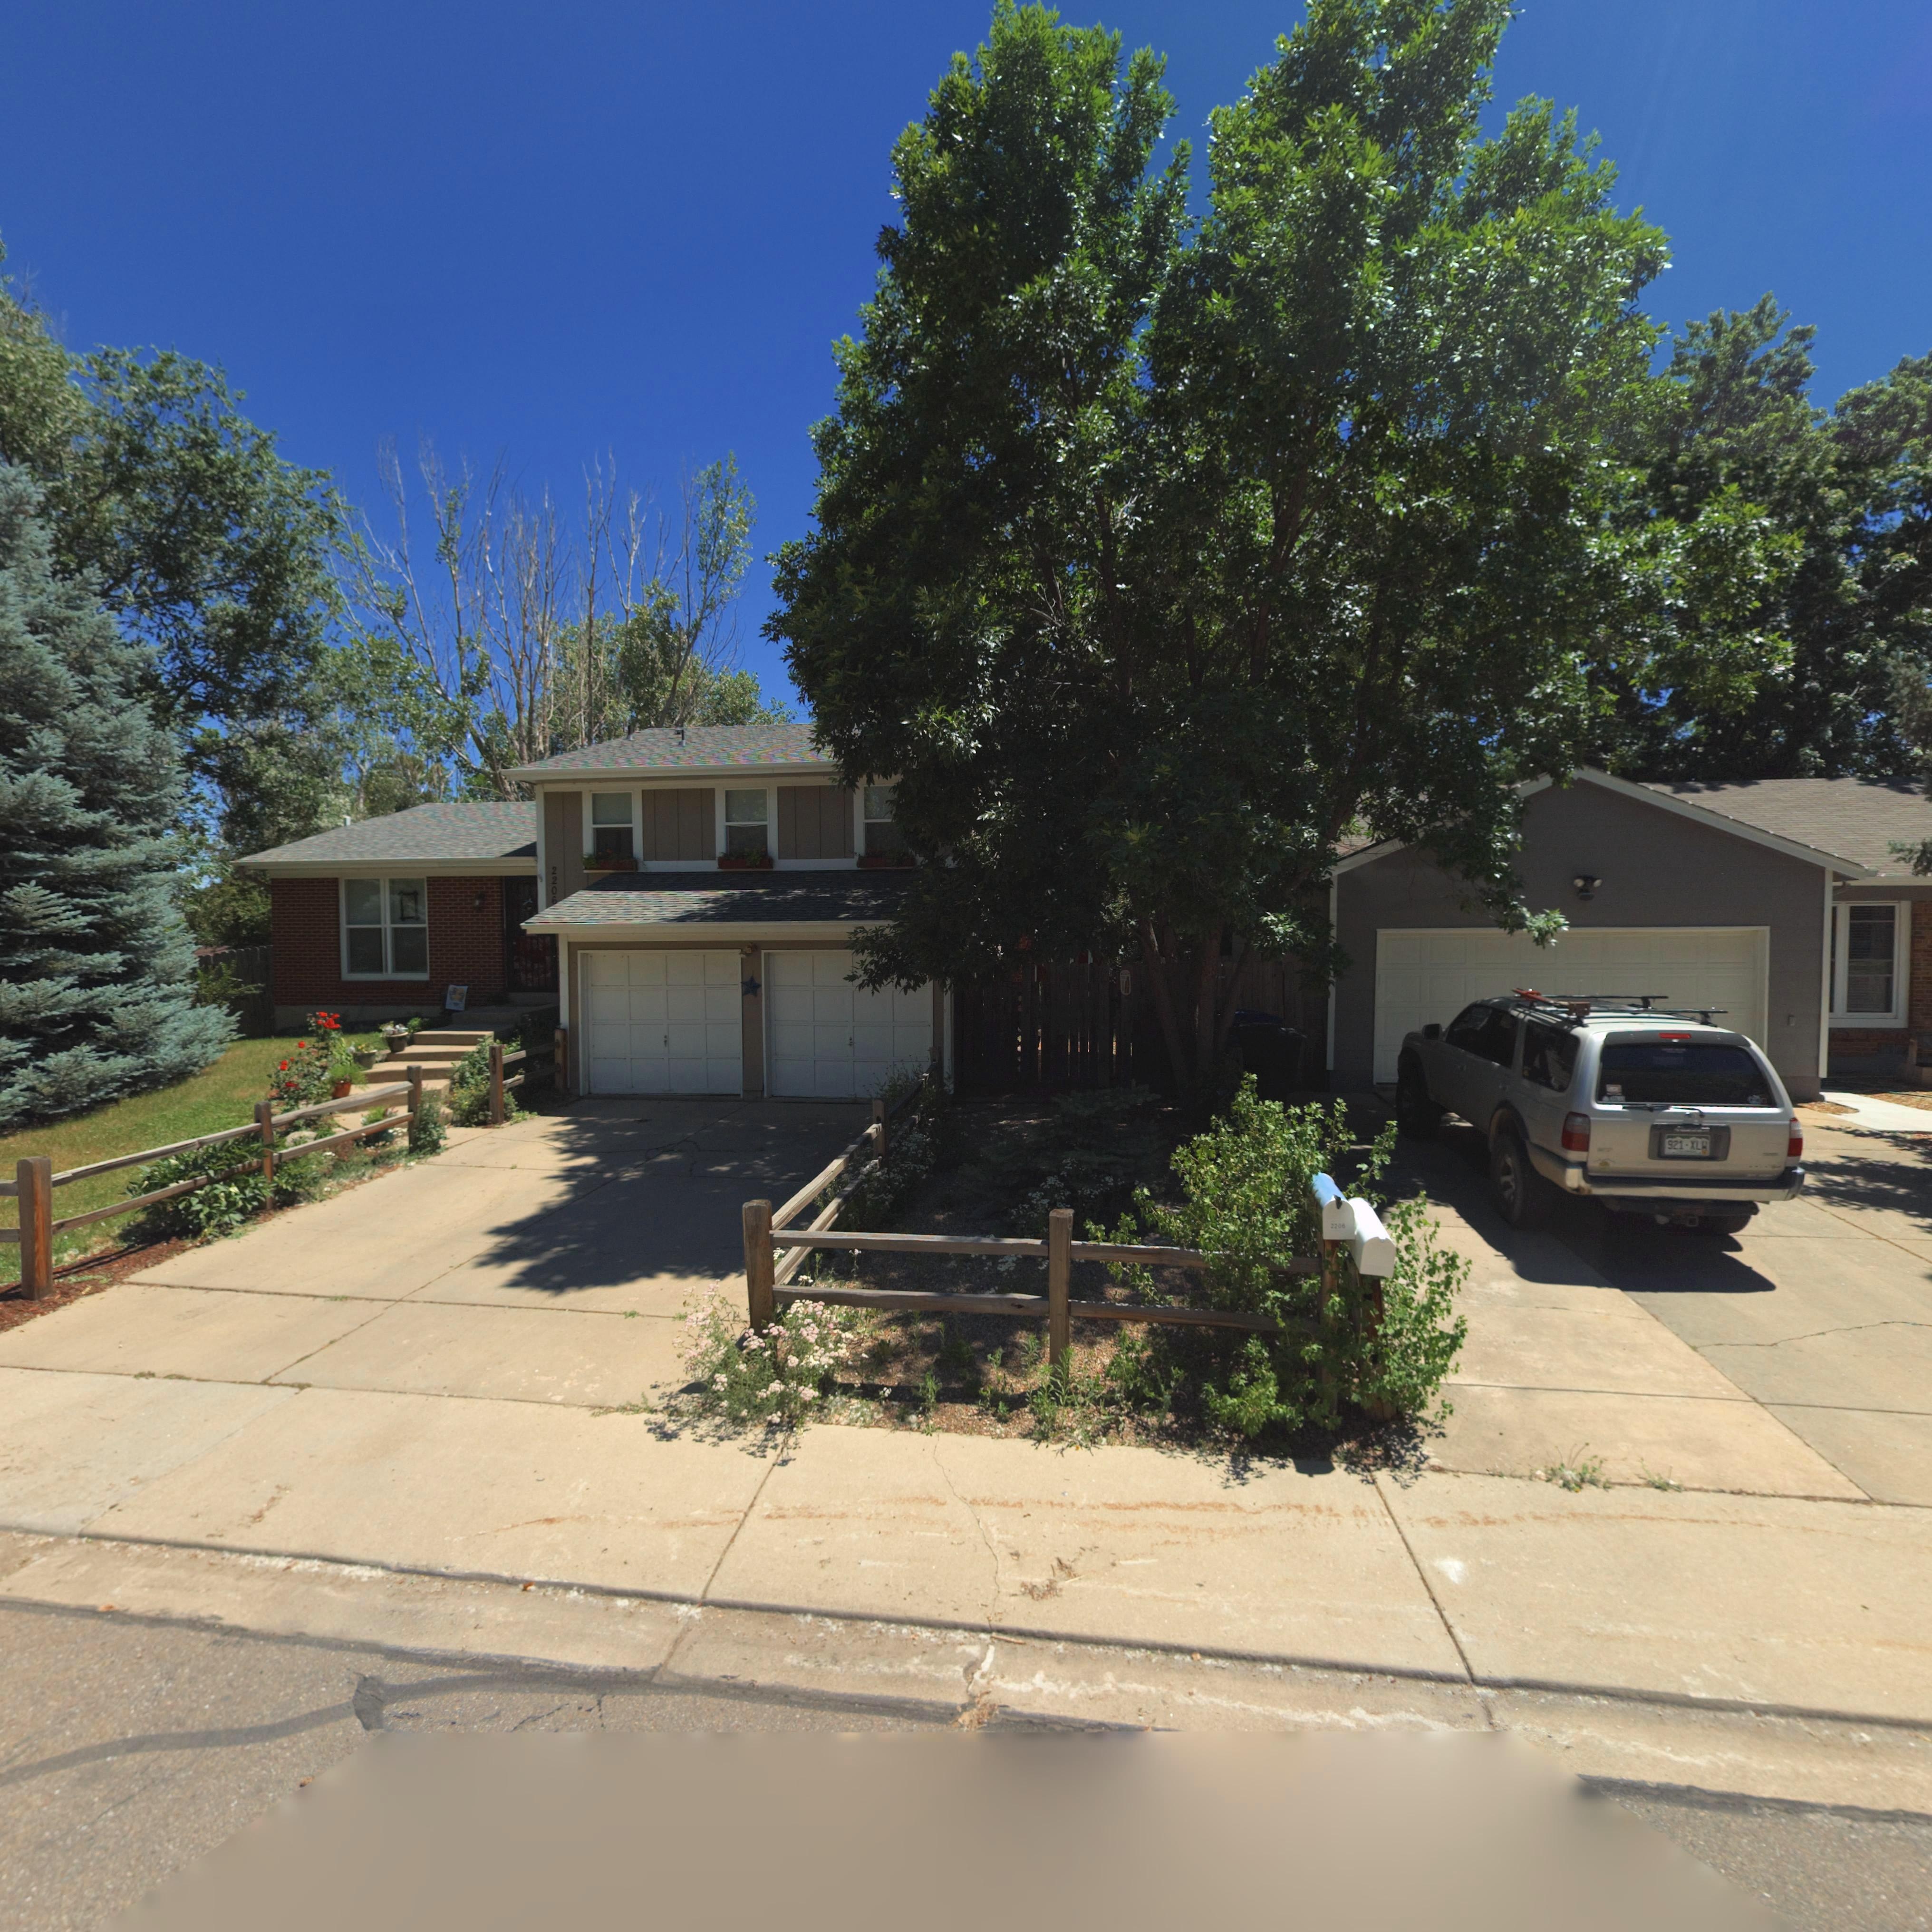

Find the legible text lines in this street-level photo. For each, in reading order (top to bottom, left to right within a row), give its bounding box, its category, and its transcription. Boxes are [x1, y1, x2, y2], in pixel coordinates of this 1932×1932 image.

[551, 866, 558, 905] StreetNumber: 2206
[1330, 1223, 1346, 1229] StreetNumber: 2206